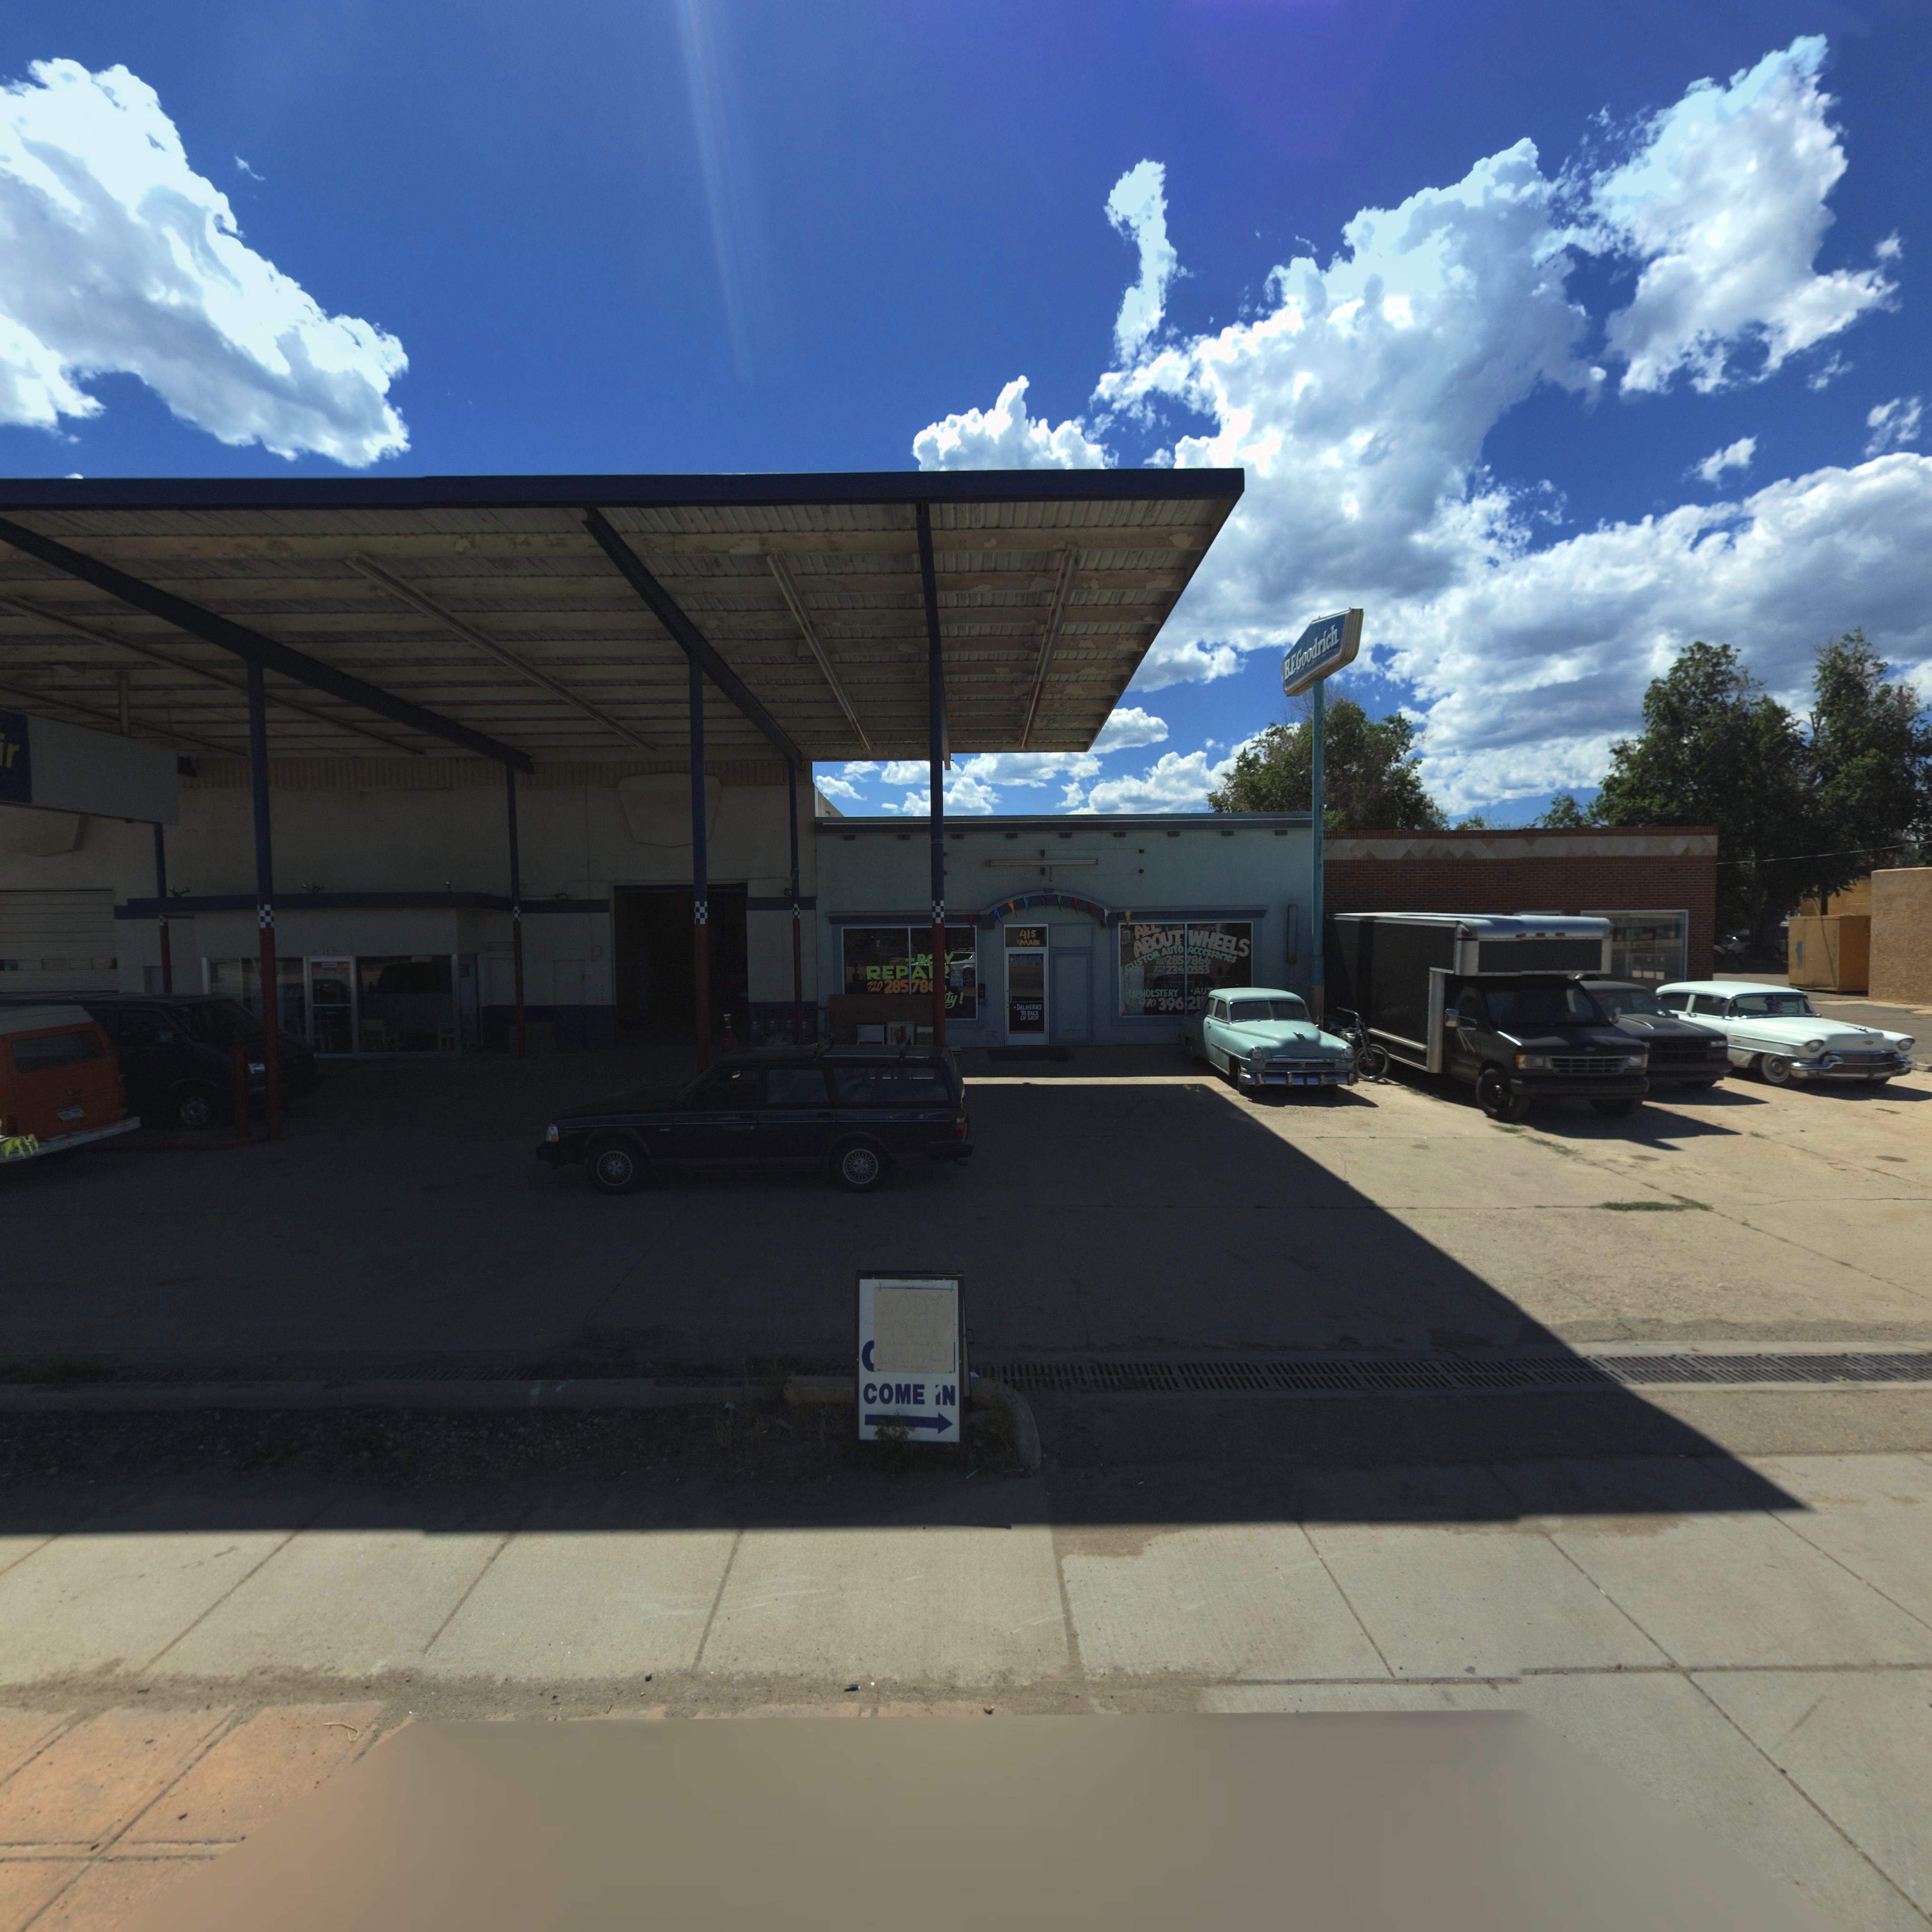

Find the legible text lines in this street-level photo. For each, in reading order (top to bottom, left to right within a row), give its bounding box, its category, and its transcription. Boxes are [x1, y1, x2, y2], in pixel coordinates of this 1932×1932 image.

[1018, 929, 1030, 939] StreetNumber: 41
[1030, 929, 1036, 938] StreetName: S
[1133, 924, 1160, 940] BusinessName: ALL
[1019, 939, 1040, 946] StreetName: MAIN
[1133, 929, 1250, 959] BusinessName: ABOUT WHEELS
[321, 948, 329, 956] StreetNumber: 45
[1124, 945, 1238, 972] BusinessName: CUSTOM AUTO ACCeSSOrieS